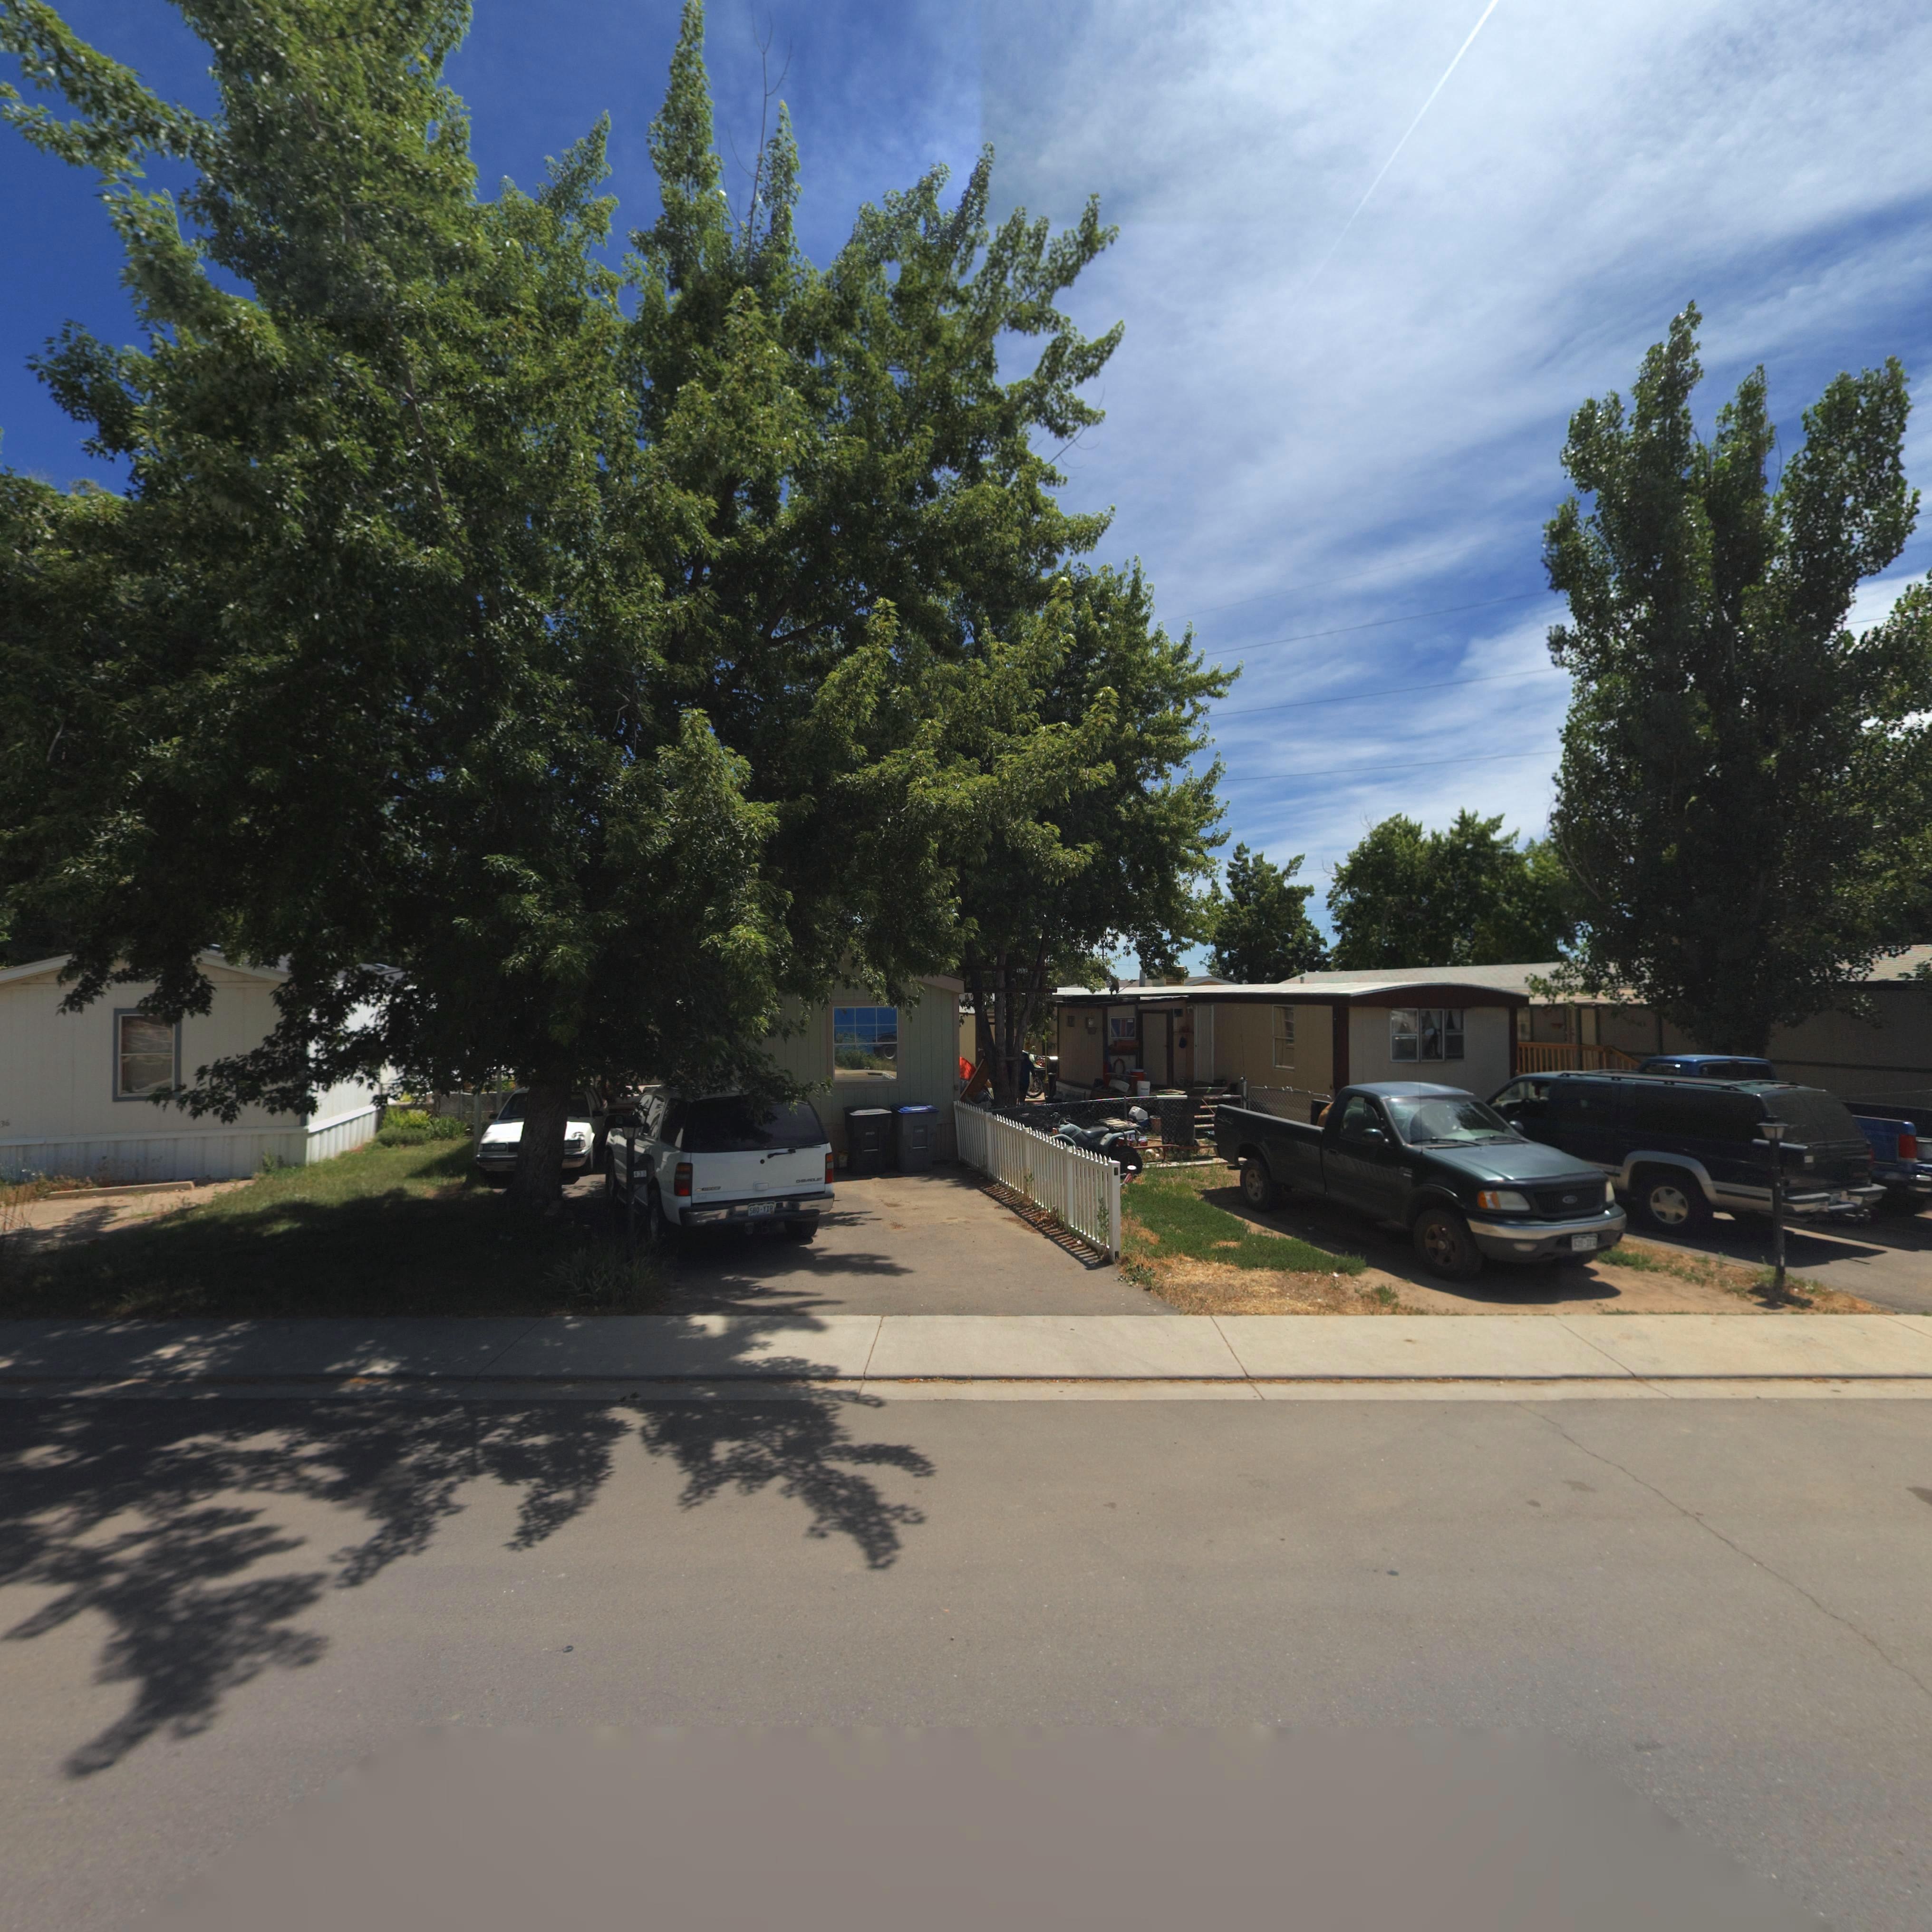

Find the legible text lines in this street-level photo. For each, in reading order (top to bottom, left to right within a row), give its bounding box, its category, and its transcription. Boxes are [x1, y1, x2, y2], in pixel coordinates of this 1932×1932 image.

[634, 1170, 646, 1177] StreetNumber: 438